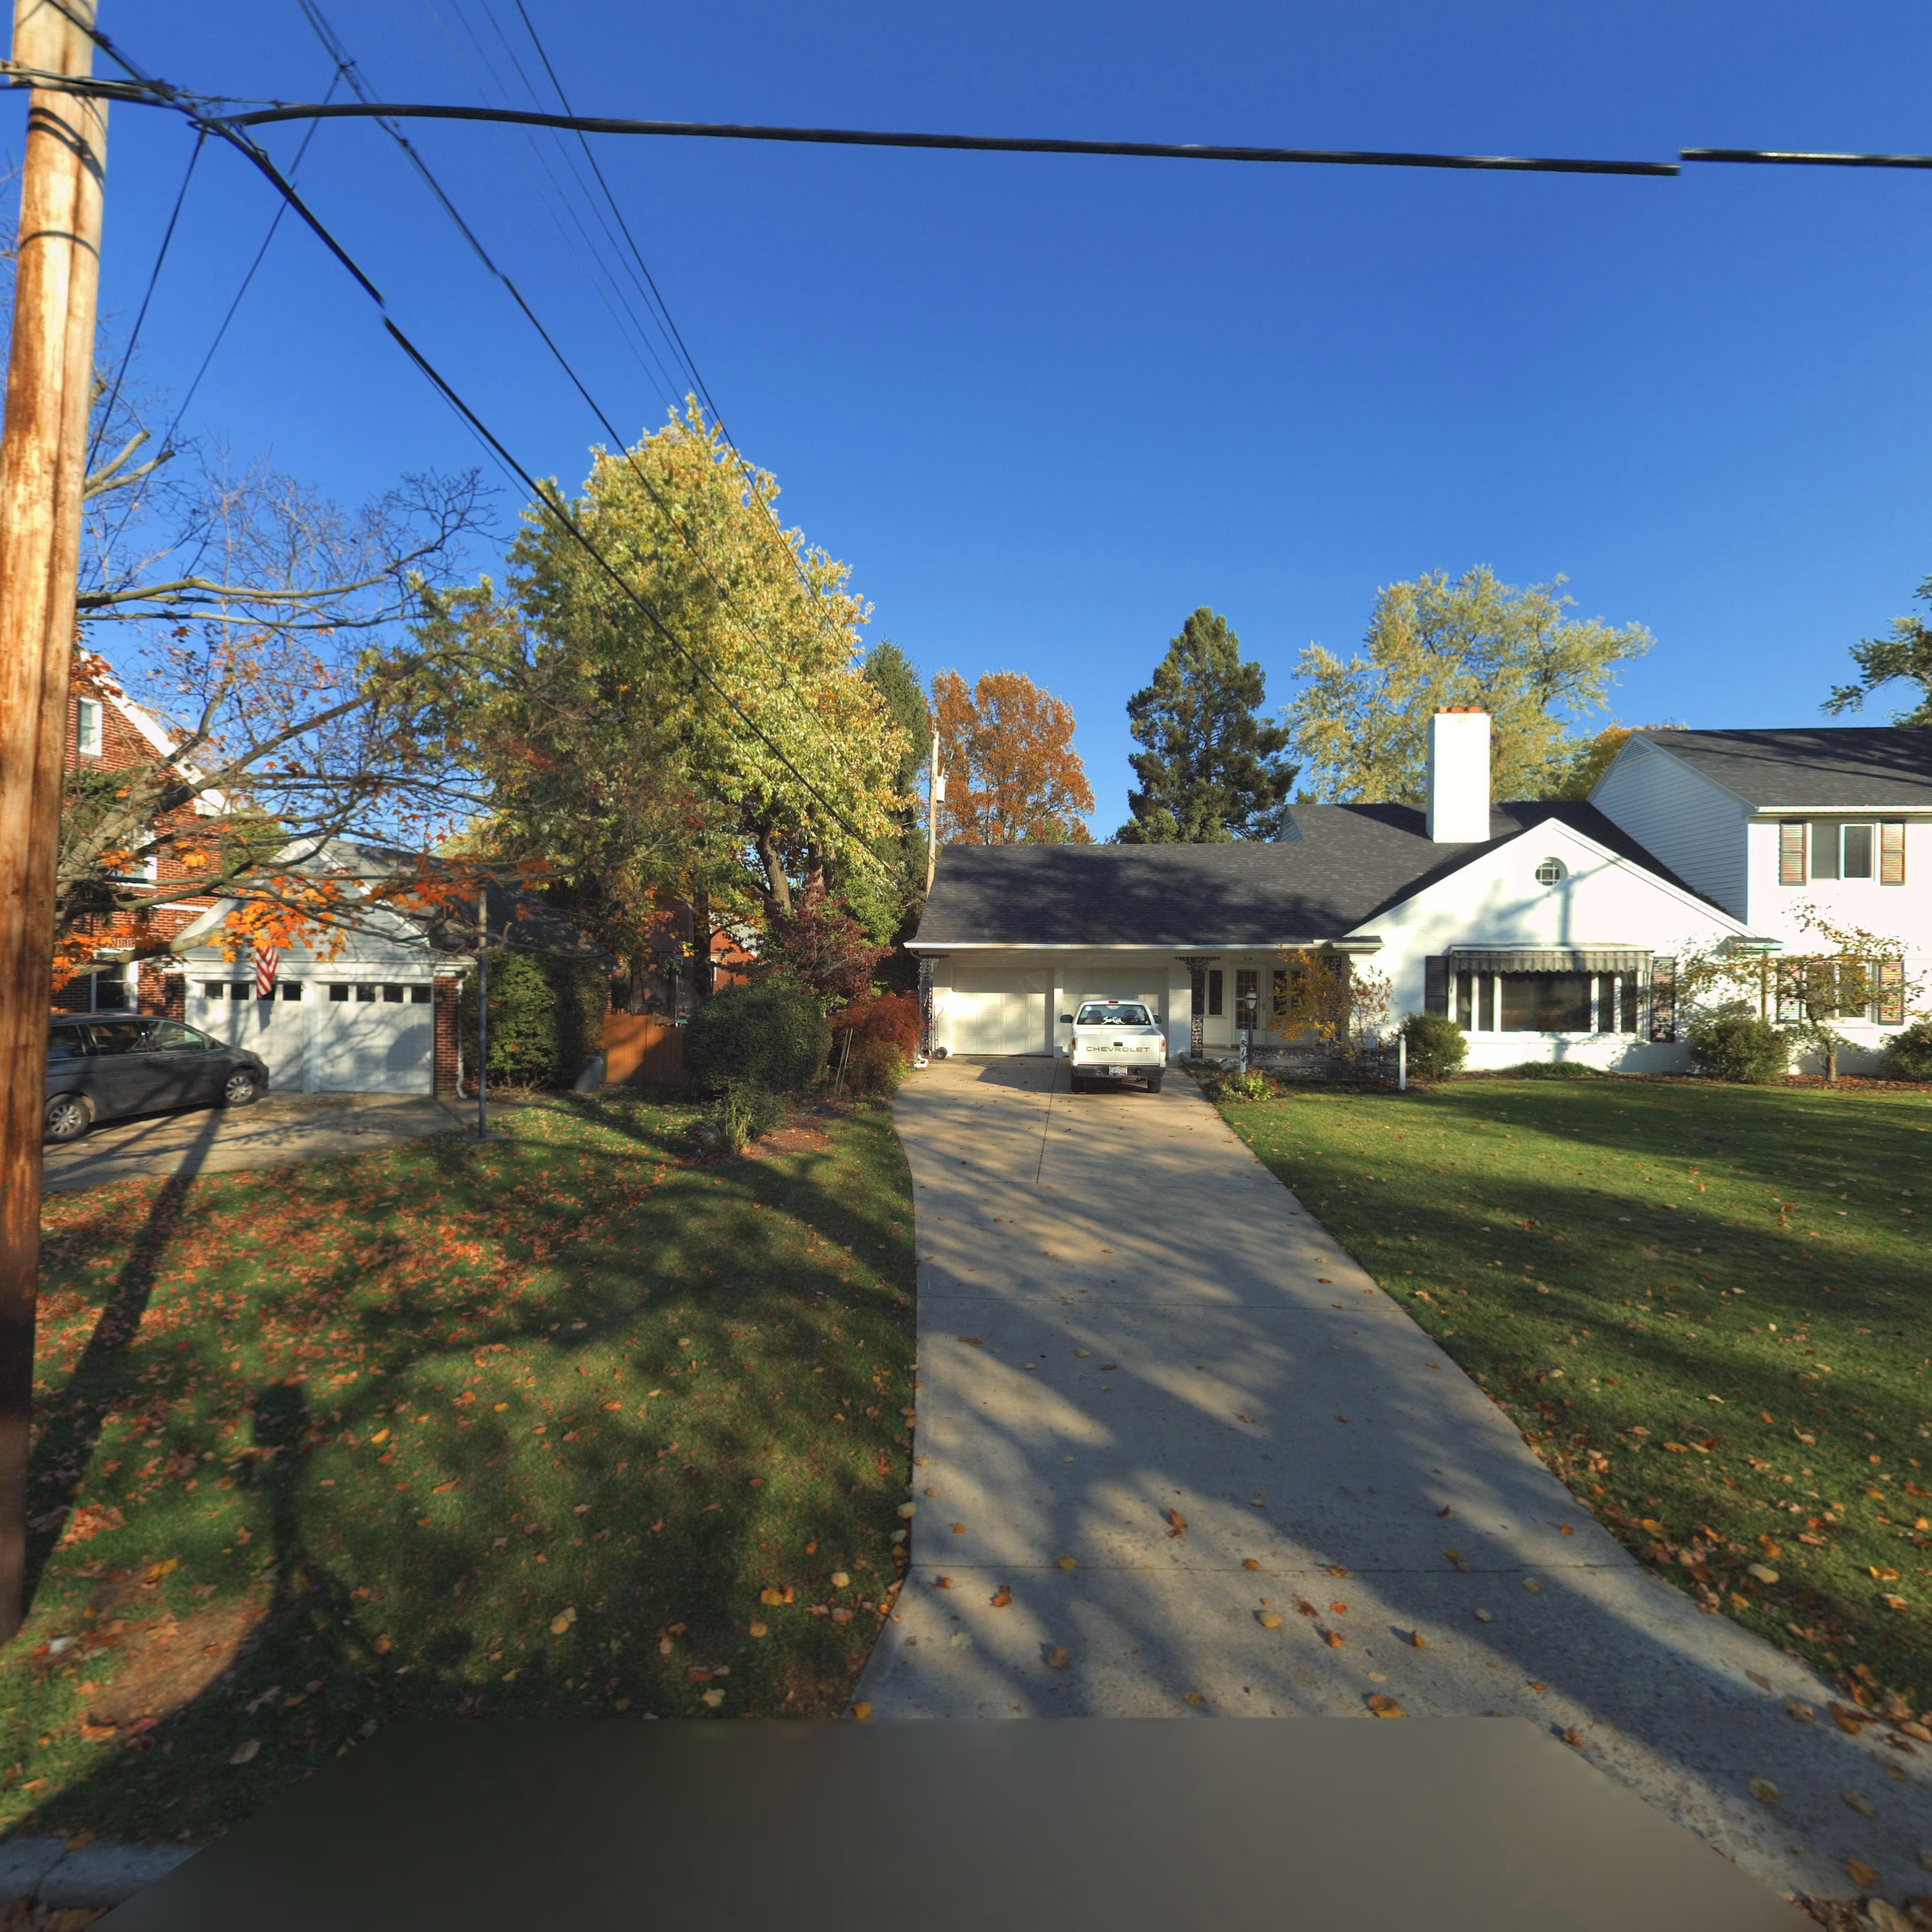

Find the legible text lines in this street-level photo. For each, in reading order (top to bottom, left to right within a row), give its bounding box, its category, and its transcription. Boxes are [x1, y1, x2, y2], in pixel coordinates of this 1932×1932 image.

[1243, 956, 1253, 961] StreetNumber: 814
[1240, 1039, 1246, 1063] StreetNumber: 814